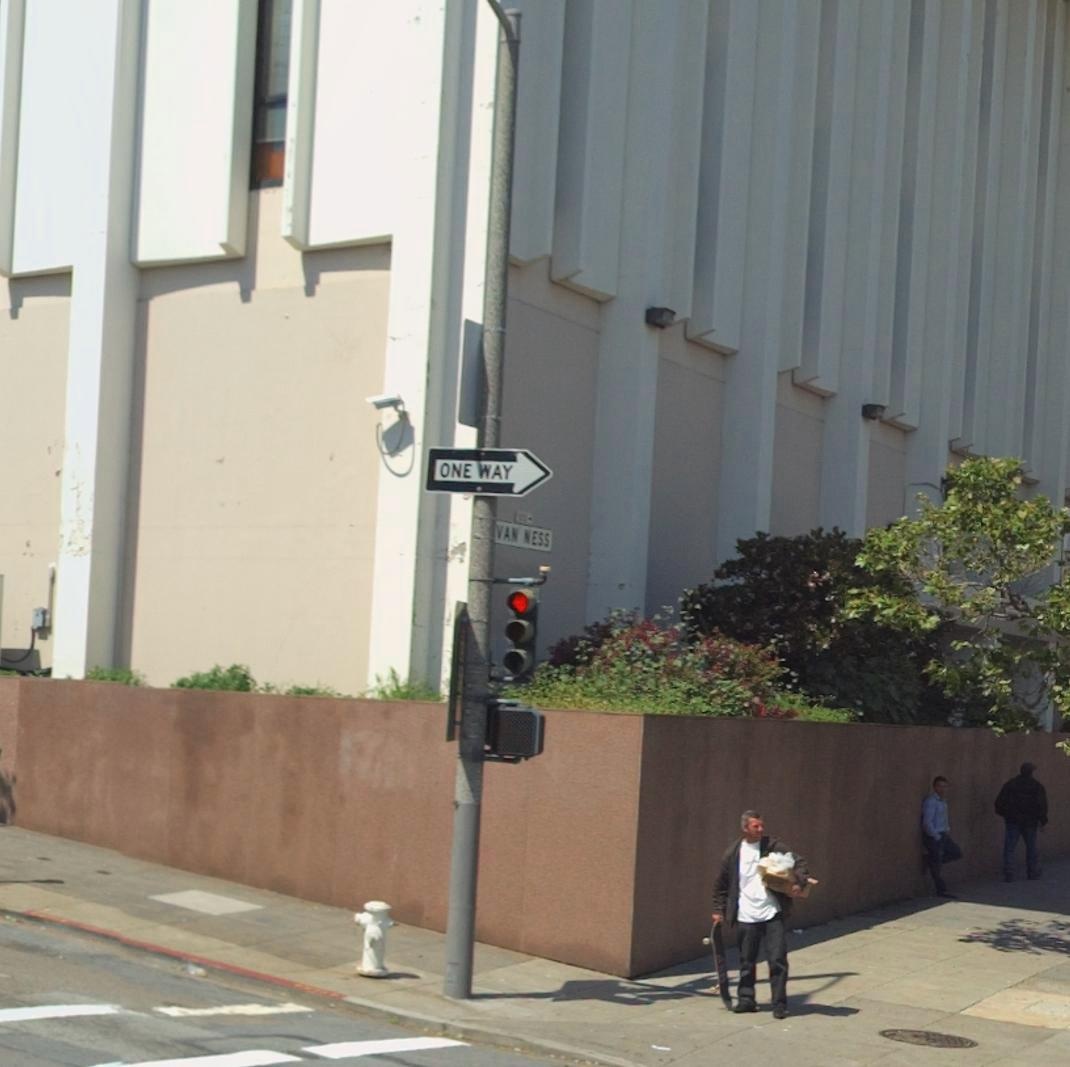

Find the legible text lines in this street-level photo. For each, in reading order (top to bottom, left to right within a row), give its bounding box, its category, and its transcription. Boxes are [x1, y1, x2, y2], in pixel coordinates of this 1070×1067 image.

[437, 461, 515, 481] None: ONE WAY
[495, 522, 550, 549] StreetName: VAN NESS